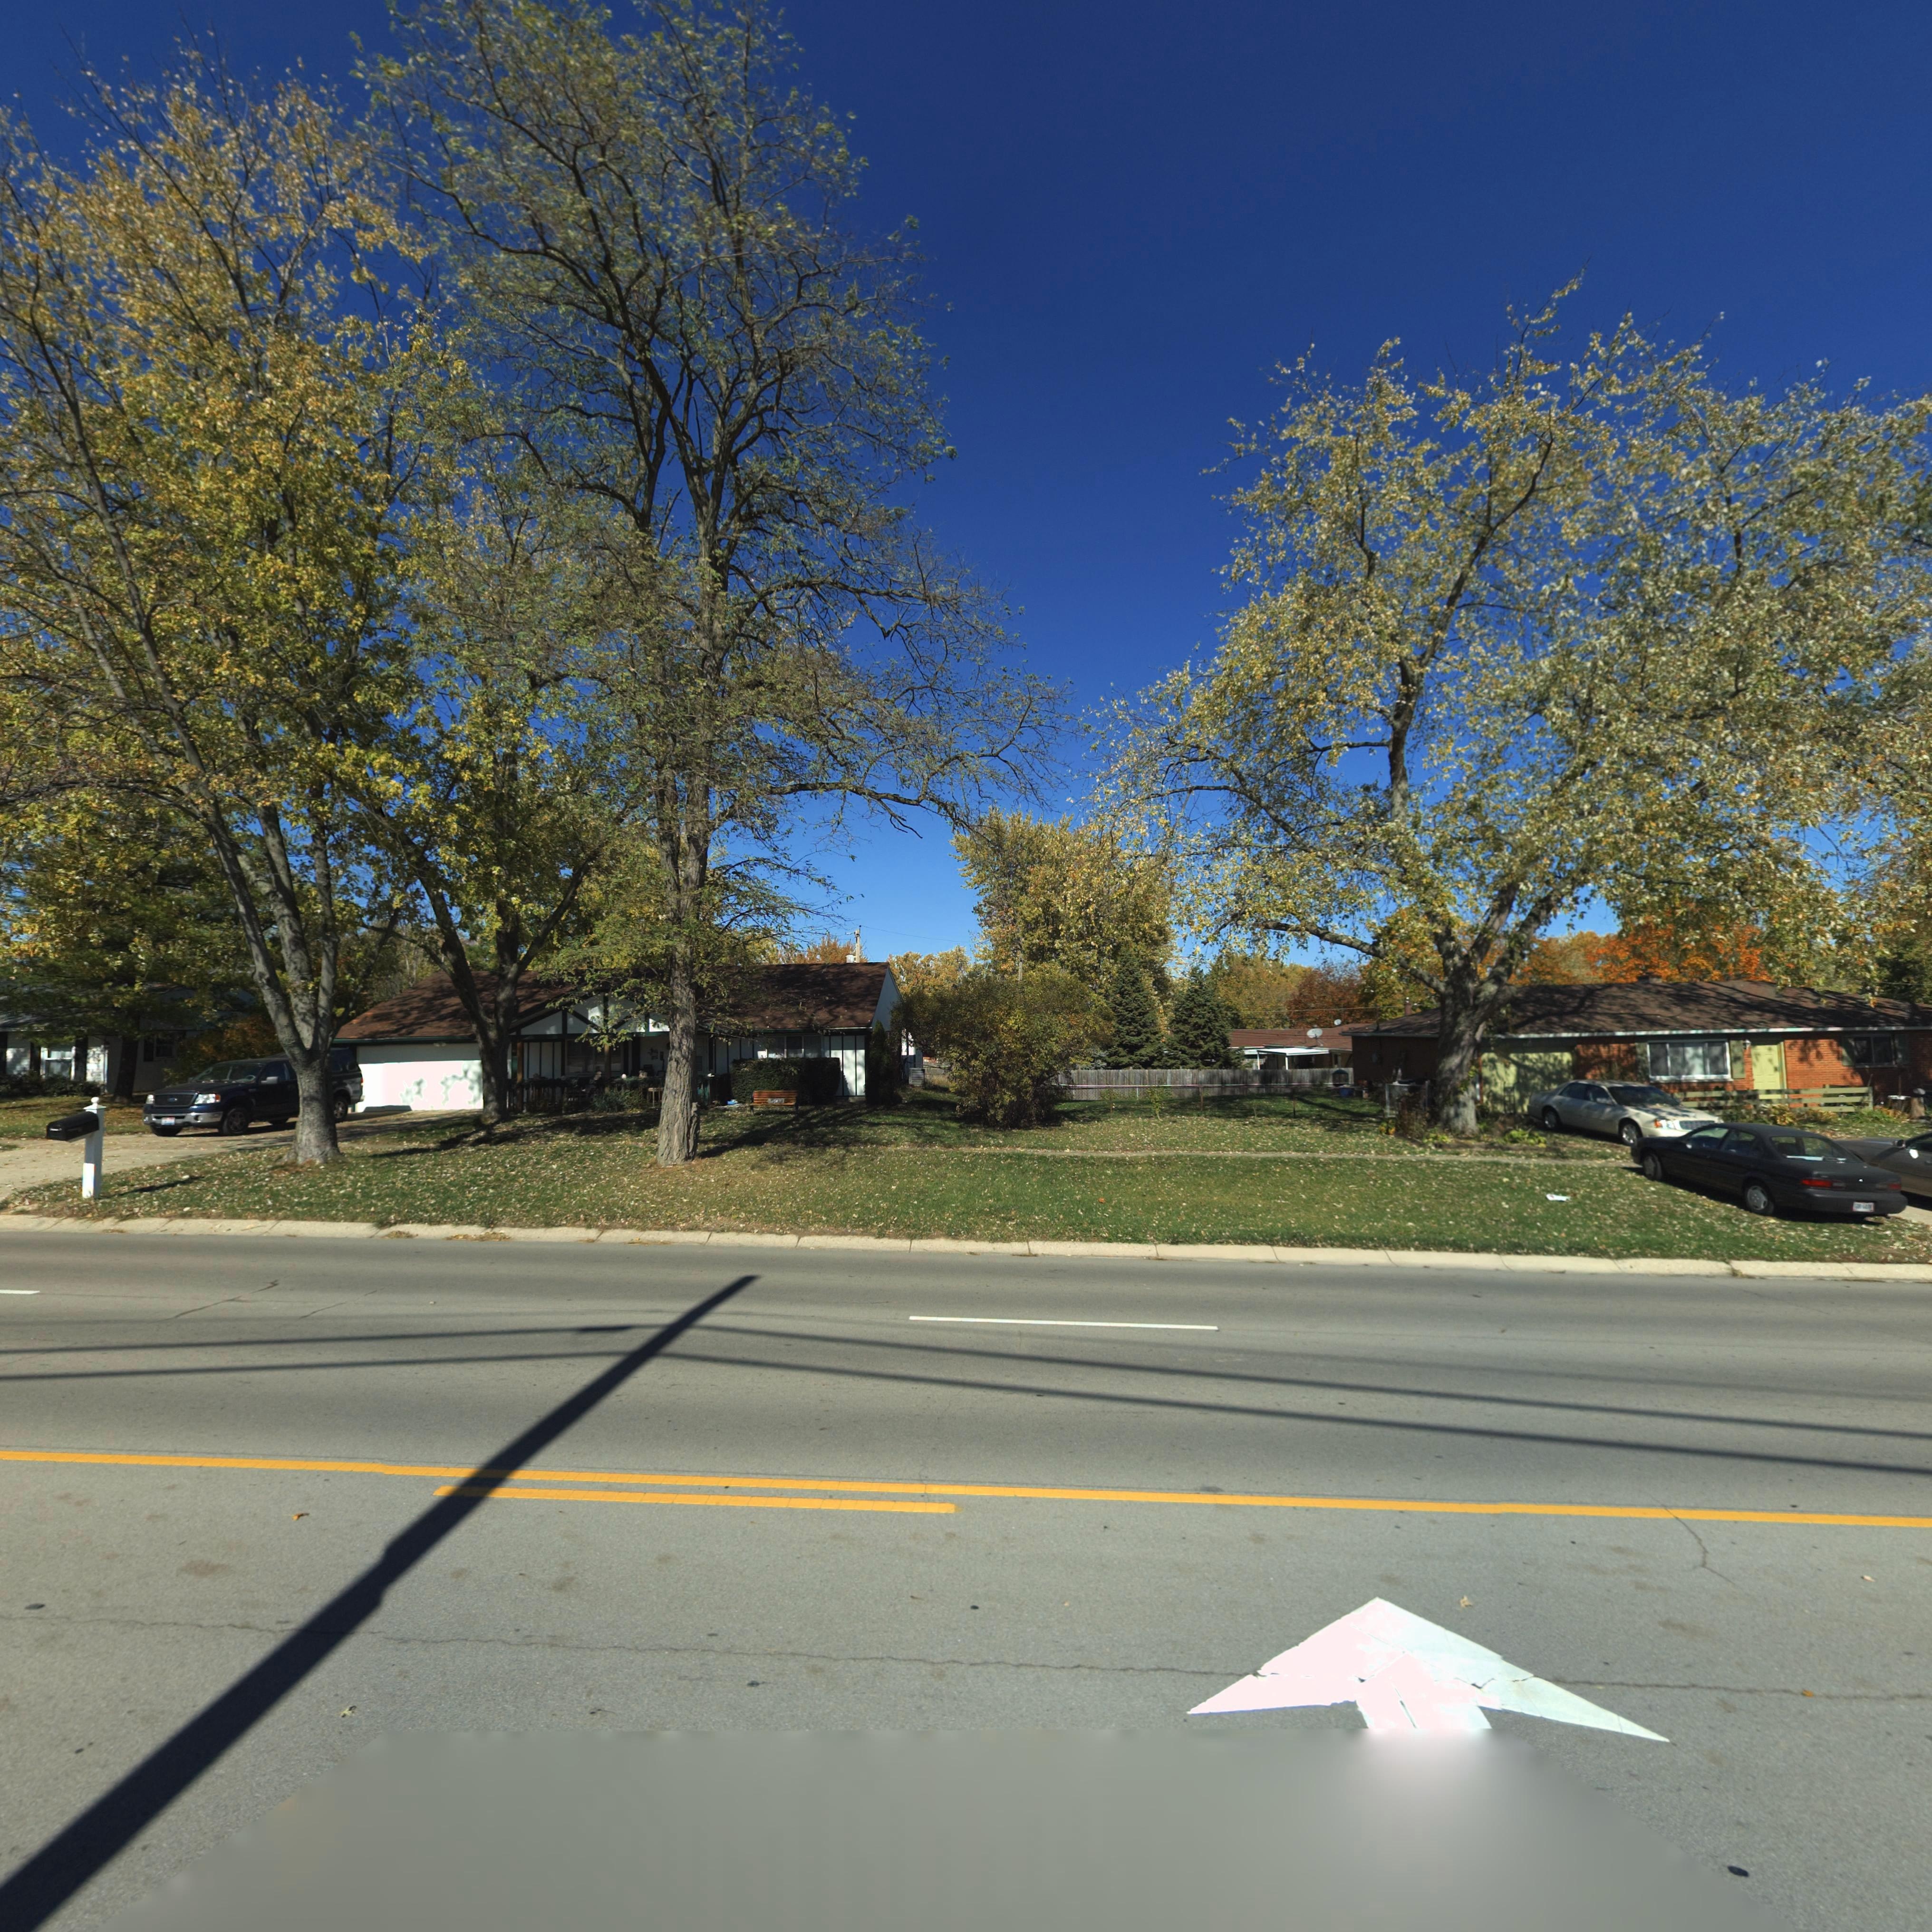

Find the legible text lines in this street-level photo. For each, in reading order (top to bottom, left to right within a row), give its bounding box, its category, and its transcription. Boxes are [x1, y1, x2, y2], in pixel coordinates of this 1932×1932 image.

[770, 1098, 783, 1104] StreetNumber: *0*